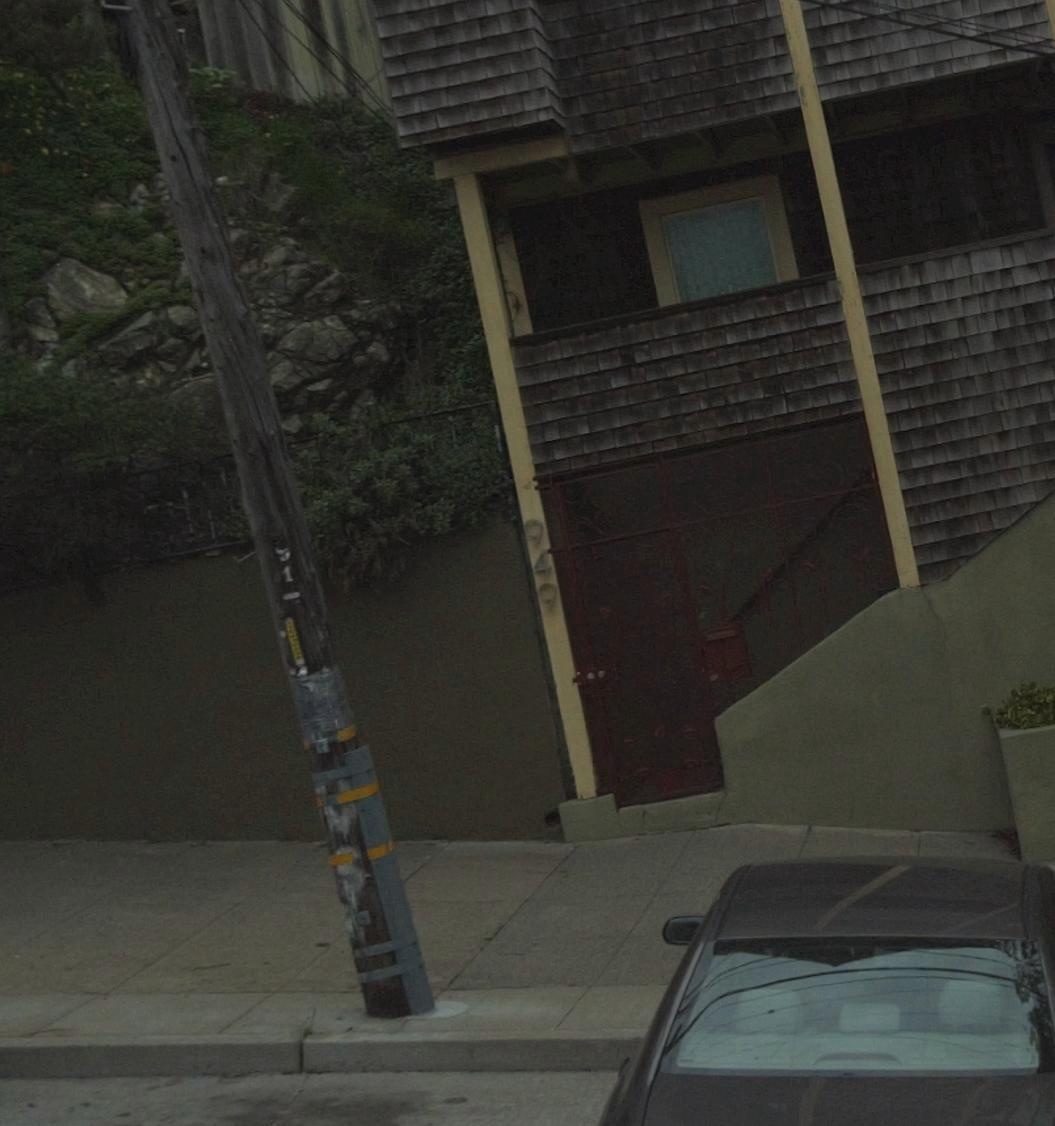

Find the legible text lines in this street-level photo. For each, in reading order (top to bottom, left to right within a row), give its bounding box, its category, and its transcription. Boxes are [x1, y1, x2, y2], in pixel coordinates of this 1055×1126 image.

[280, 563, 295, 585] None: 1
[522, 514, 560, 613] StreetNumber: 949